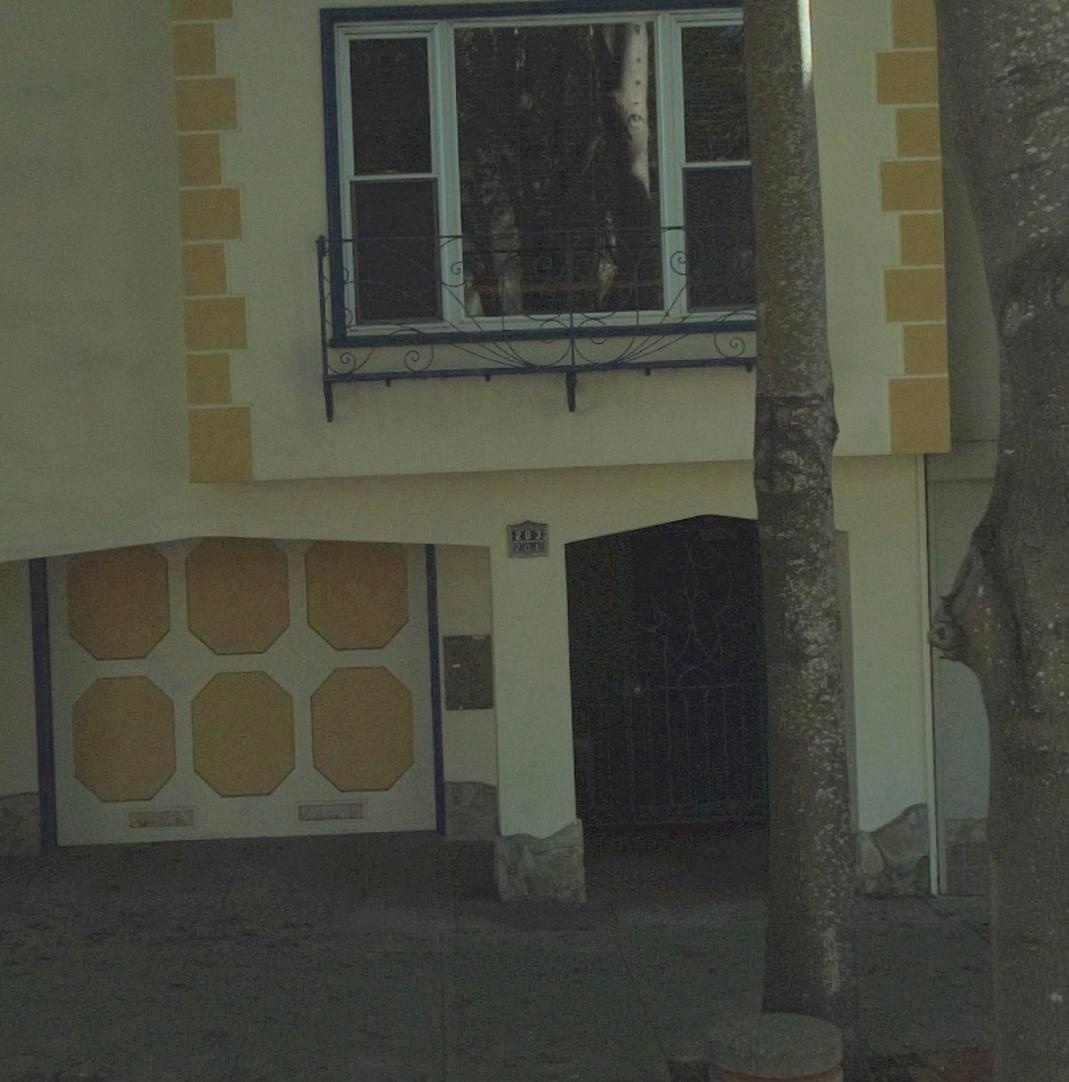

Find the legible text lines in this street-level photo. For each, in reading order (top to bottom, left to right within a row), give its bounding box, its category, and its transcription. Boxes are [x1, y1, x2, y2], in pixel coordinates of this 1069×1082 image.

[514, 530, 543, 541] StreetNumber: 203
[514, 542, 540, 553] StreetNumber: 201